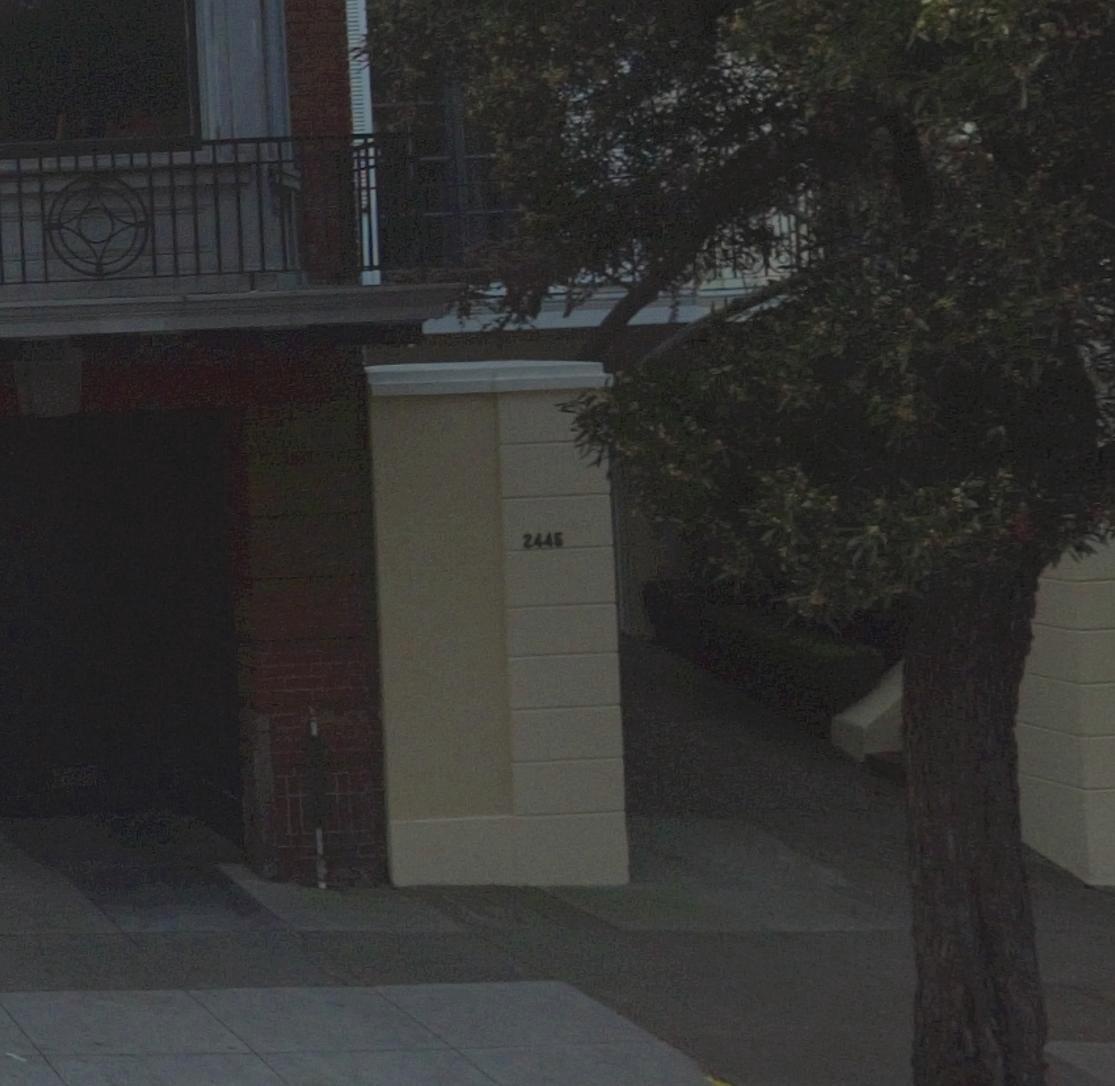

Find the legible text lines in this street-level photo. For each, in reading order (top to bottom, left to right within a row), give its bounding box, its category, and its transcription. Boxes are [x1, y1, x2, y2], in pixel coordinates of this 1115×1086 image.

[521, 529, 567, 551] StreetNumber: 2445